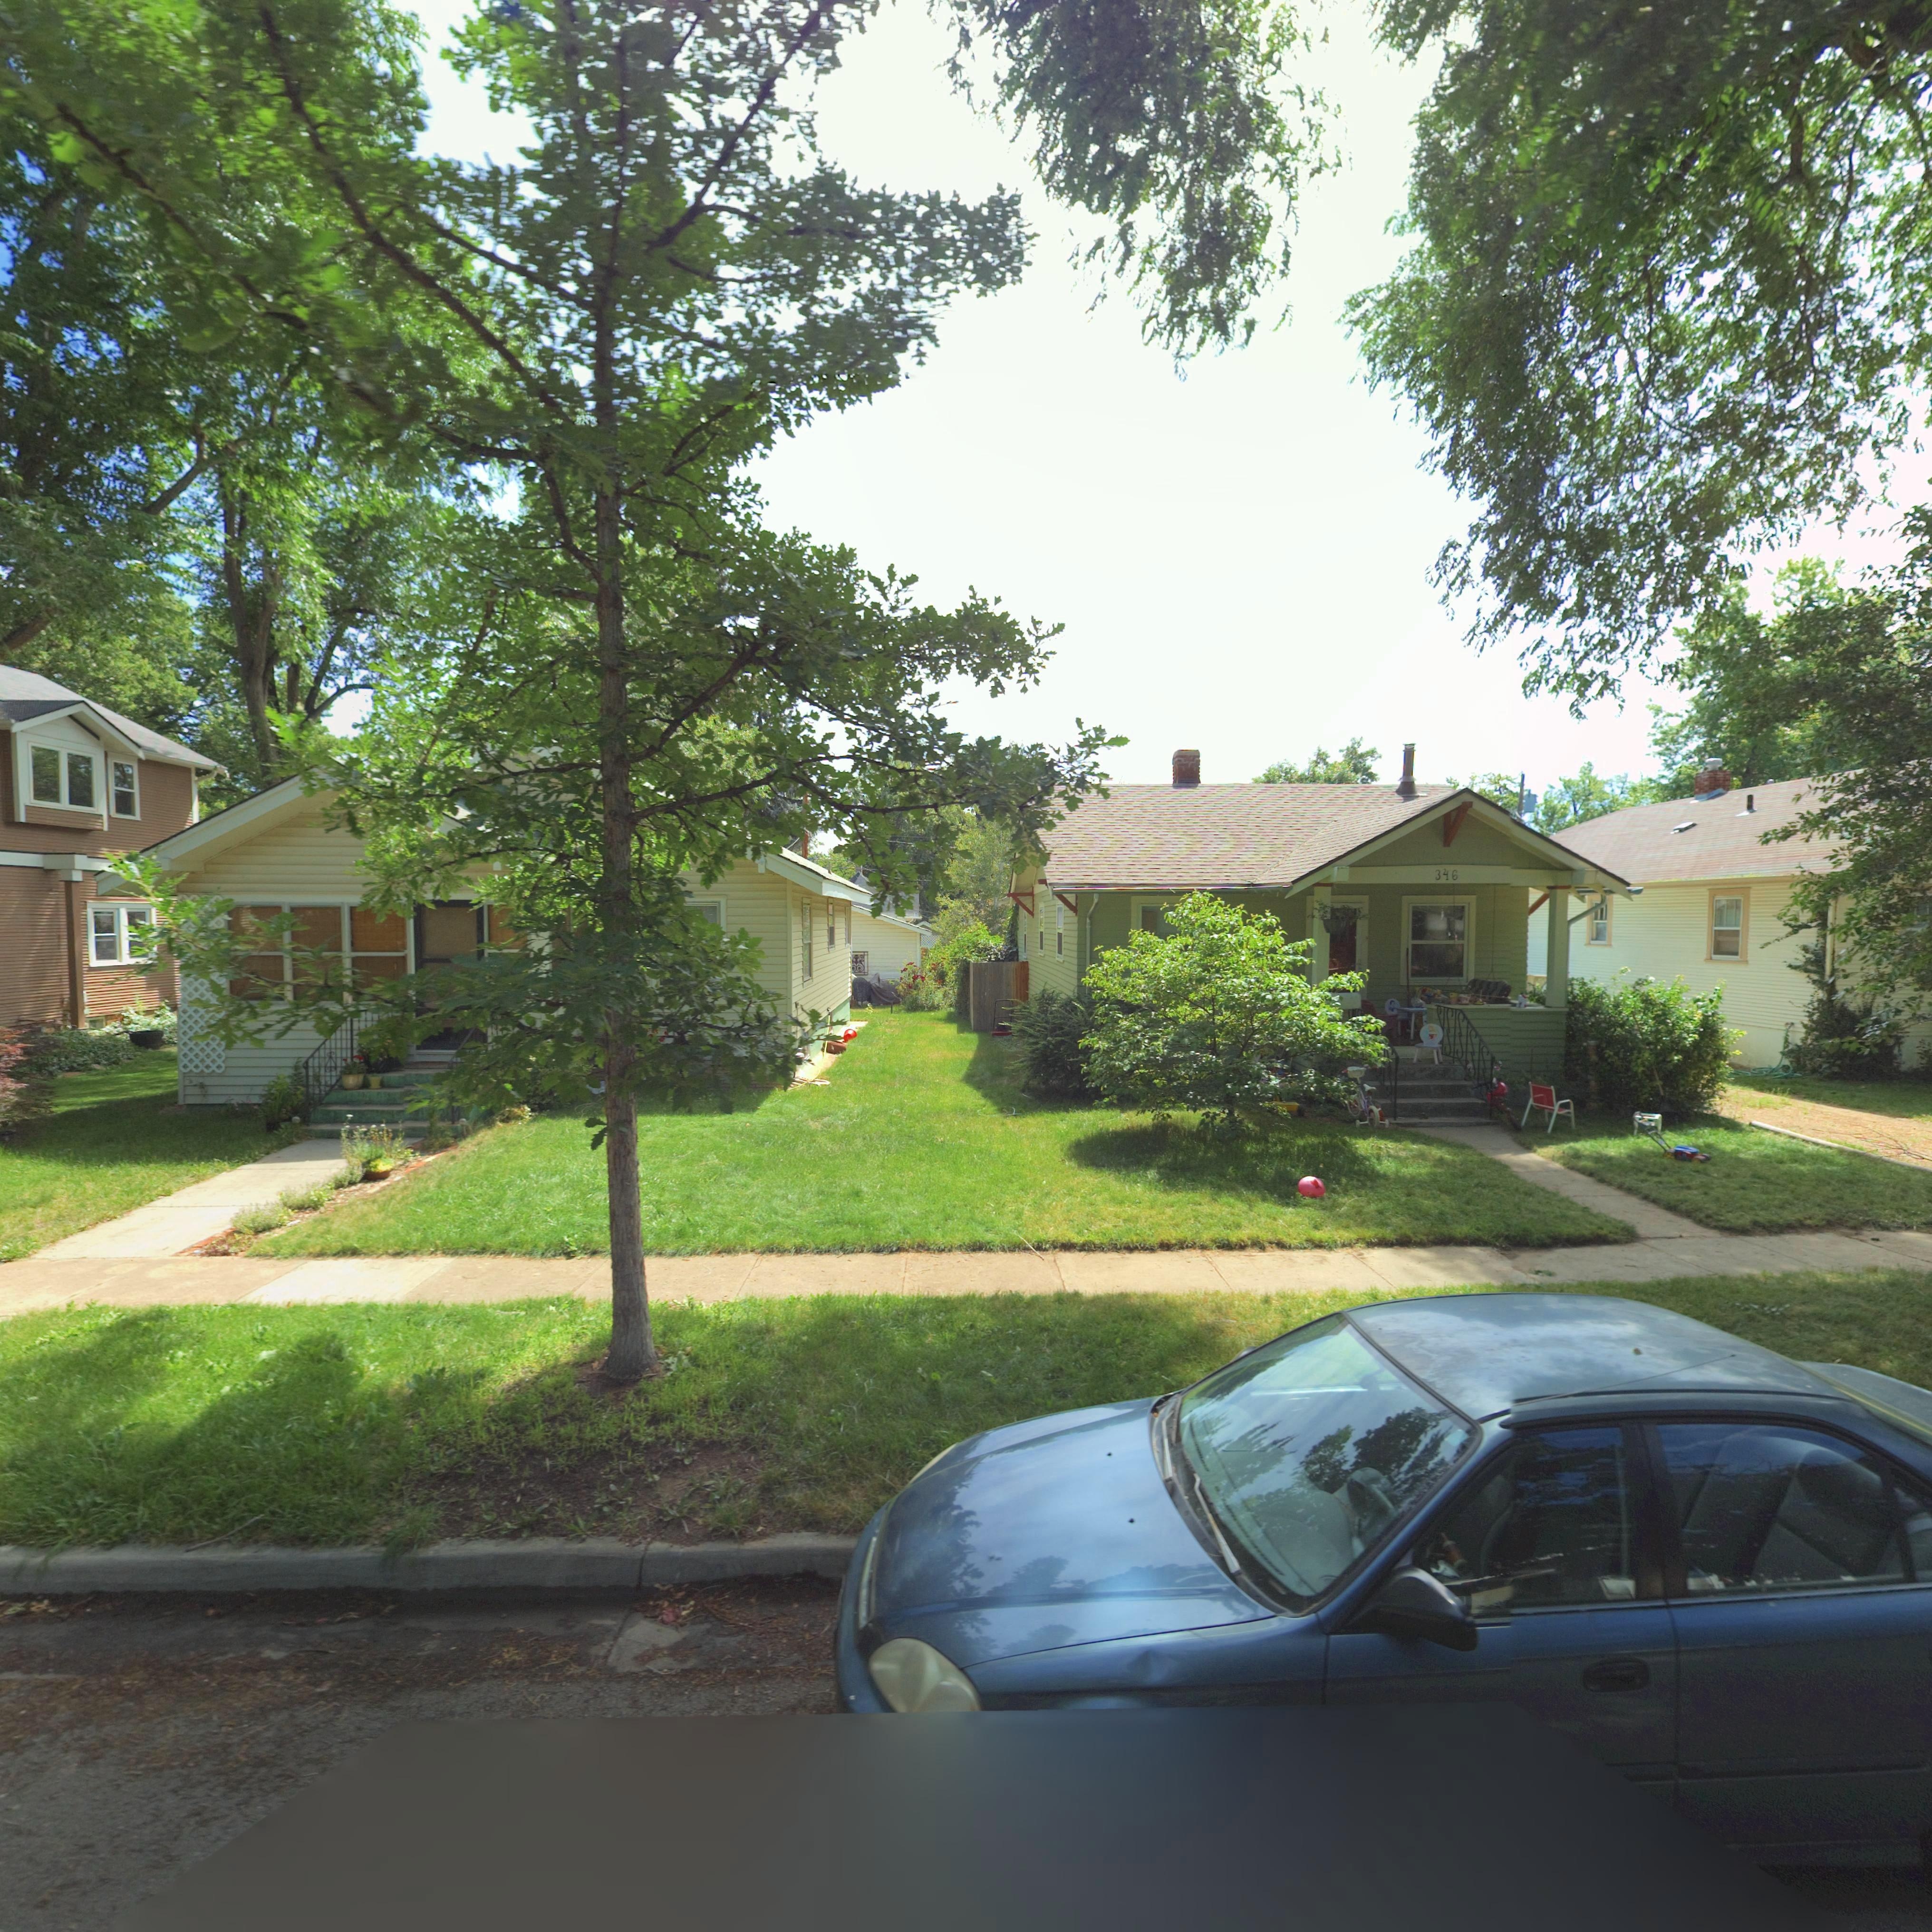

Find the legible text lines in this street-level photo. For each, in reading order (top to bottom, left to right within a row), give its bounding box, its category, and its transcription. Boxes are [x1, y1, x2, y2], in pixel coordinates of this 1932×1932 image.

[1434, 867, 1458, 880] StreetNumber: 346